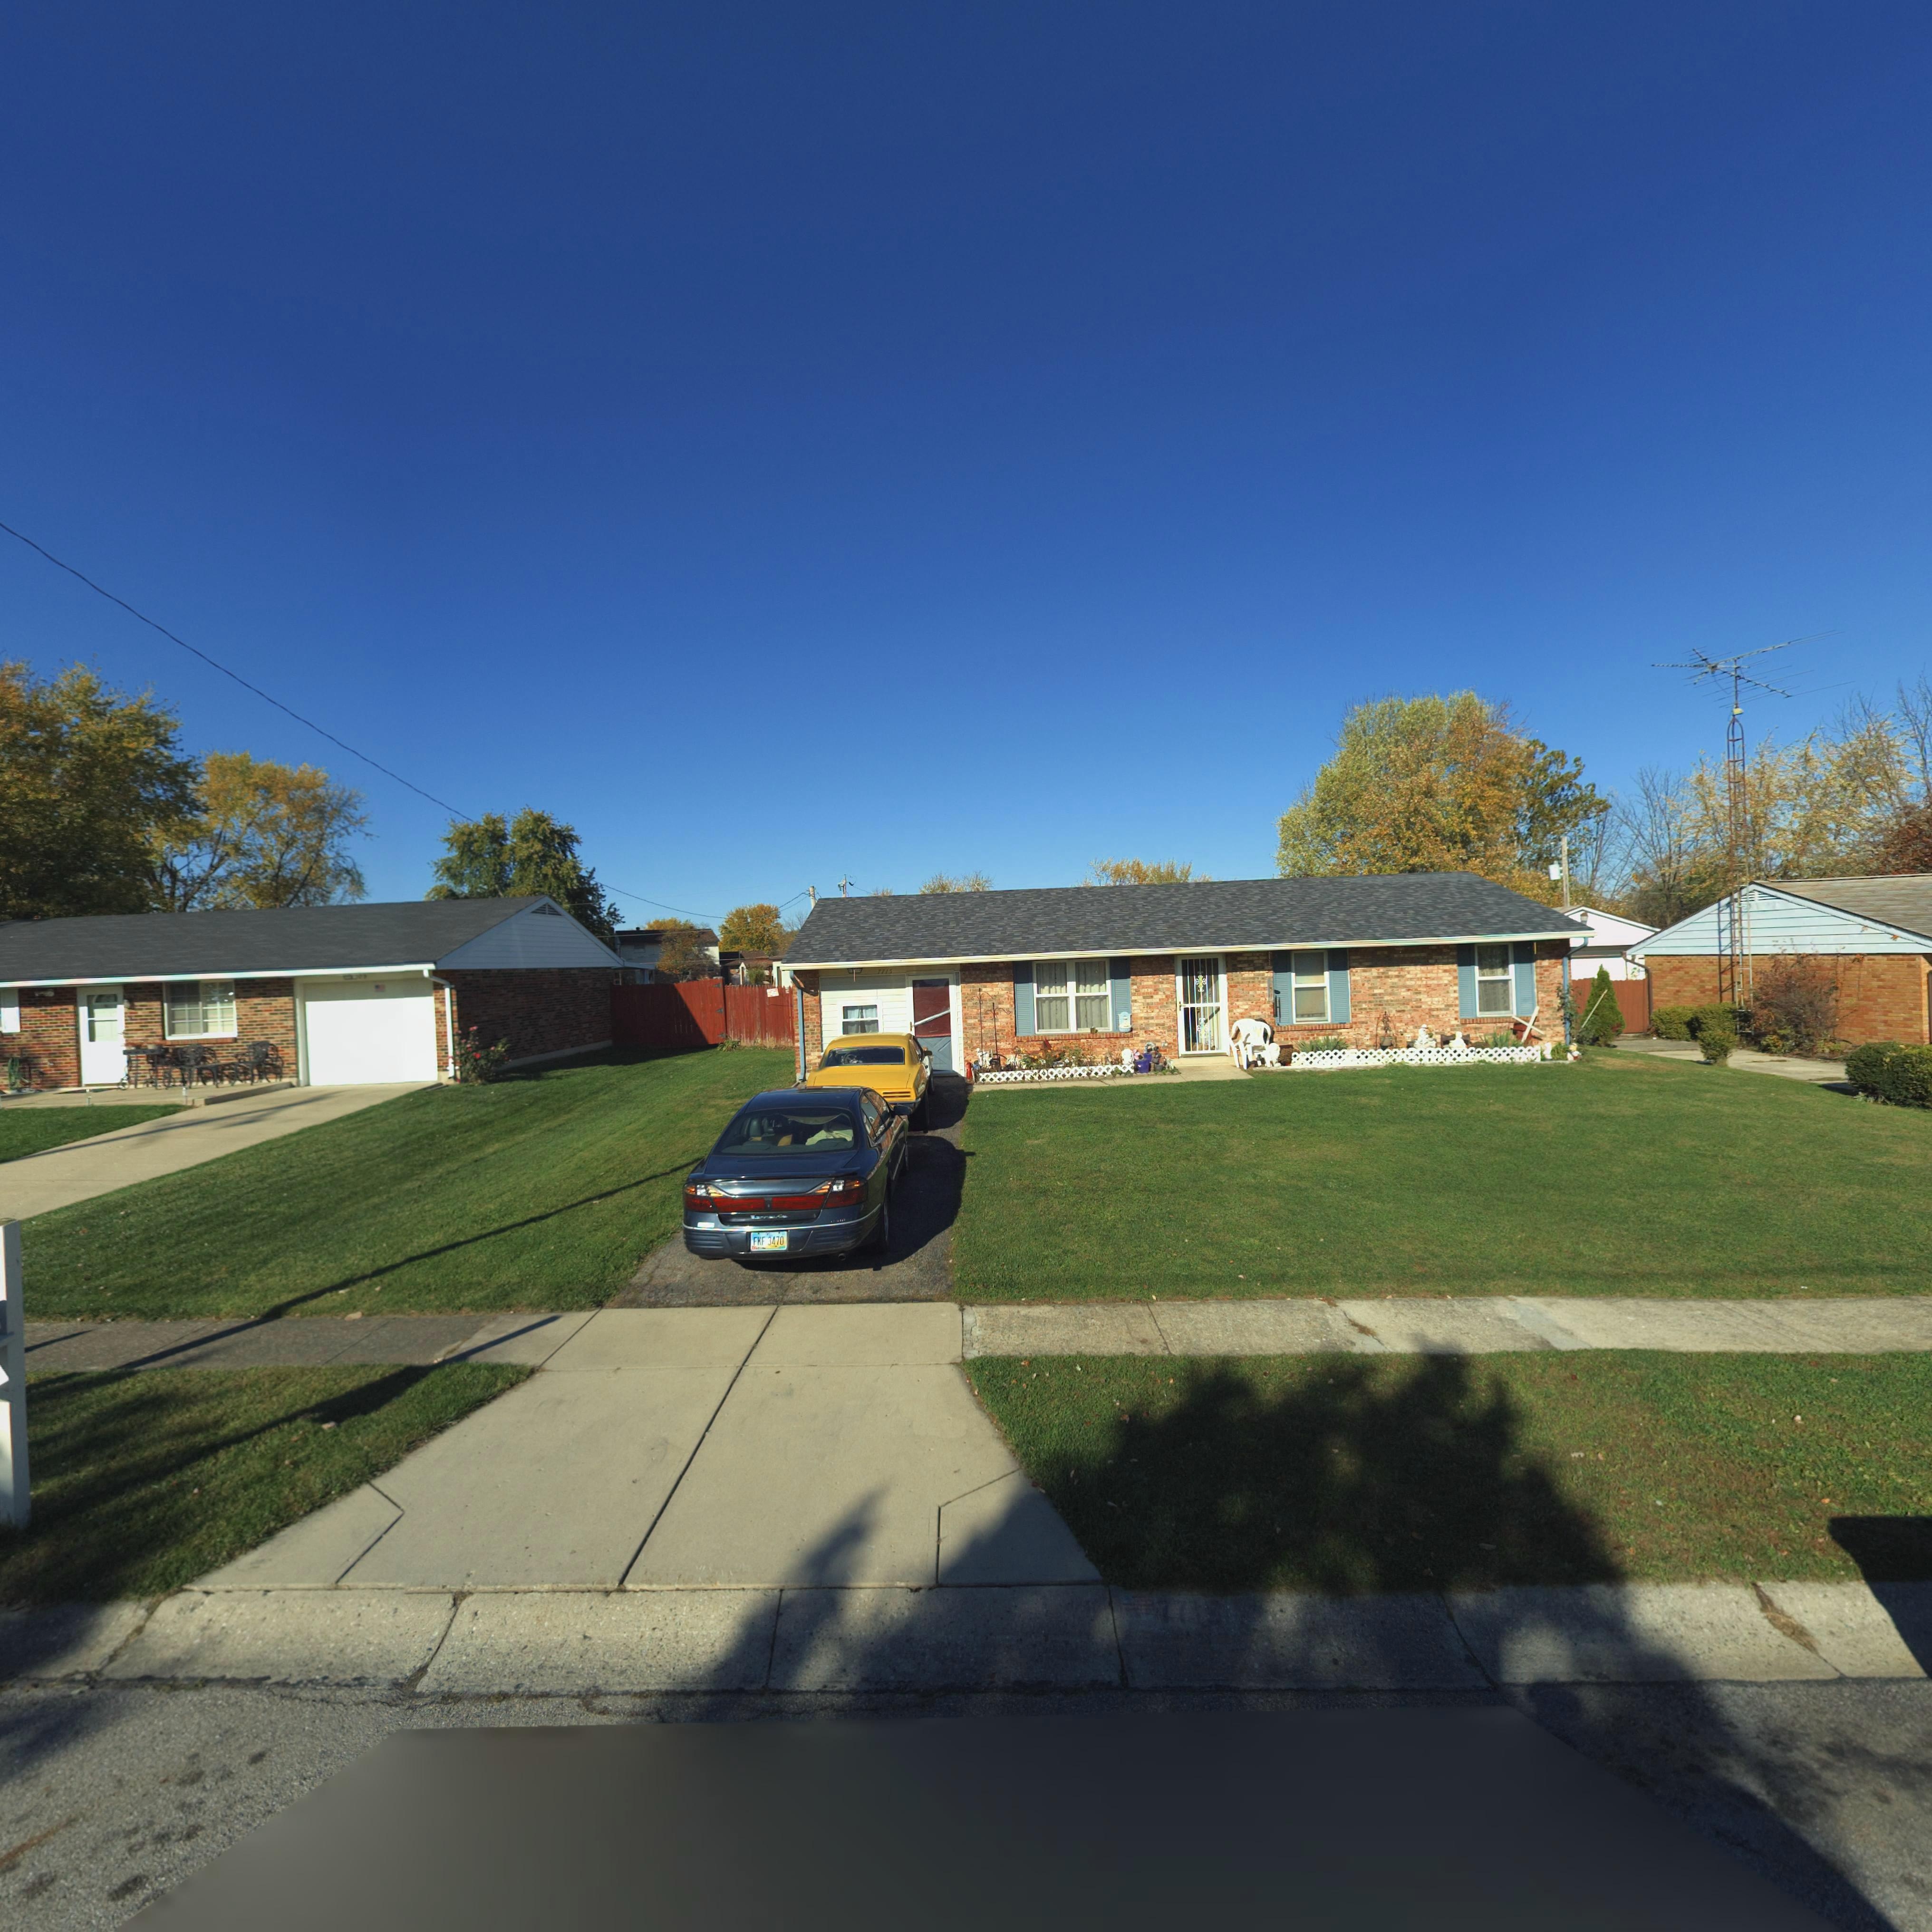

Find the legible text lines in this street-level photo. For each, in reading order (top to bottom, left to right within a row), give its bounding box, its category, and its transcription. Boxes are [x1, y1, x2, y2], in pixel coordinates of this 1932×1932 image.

[877, 968, 893, 975] StreetNumber: 771*